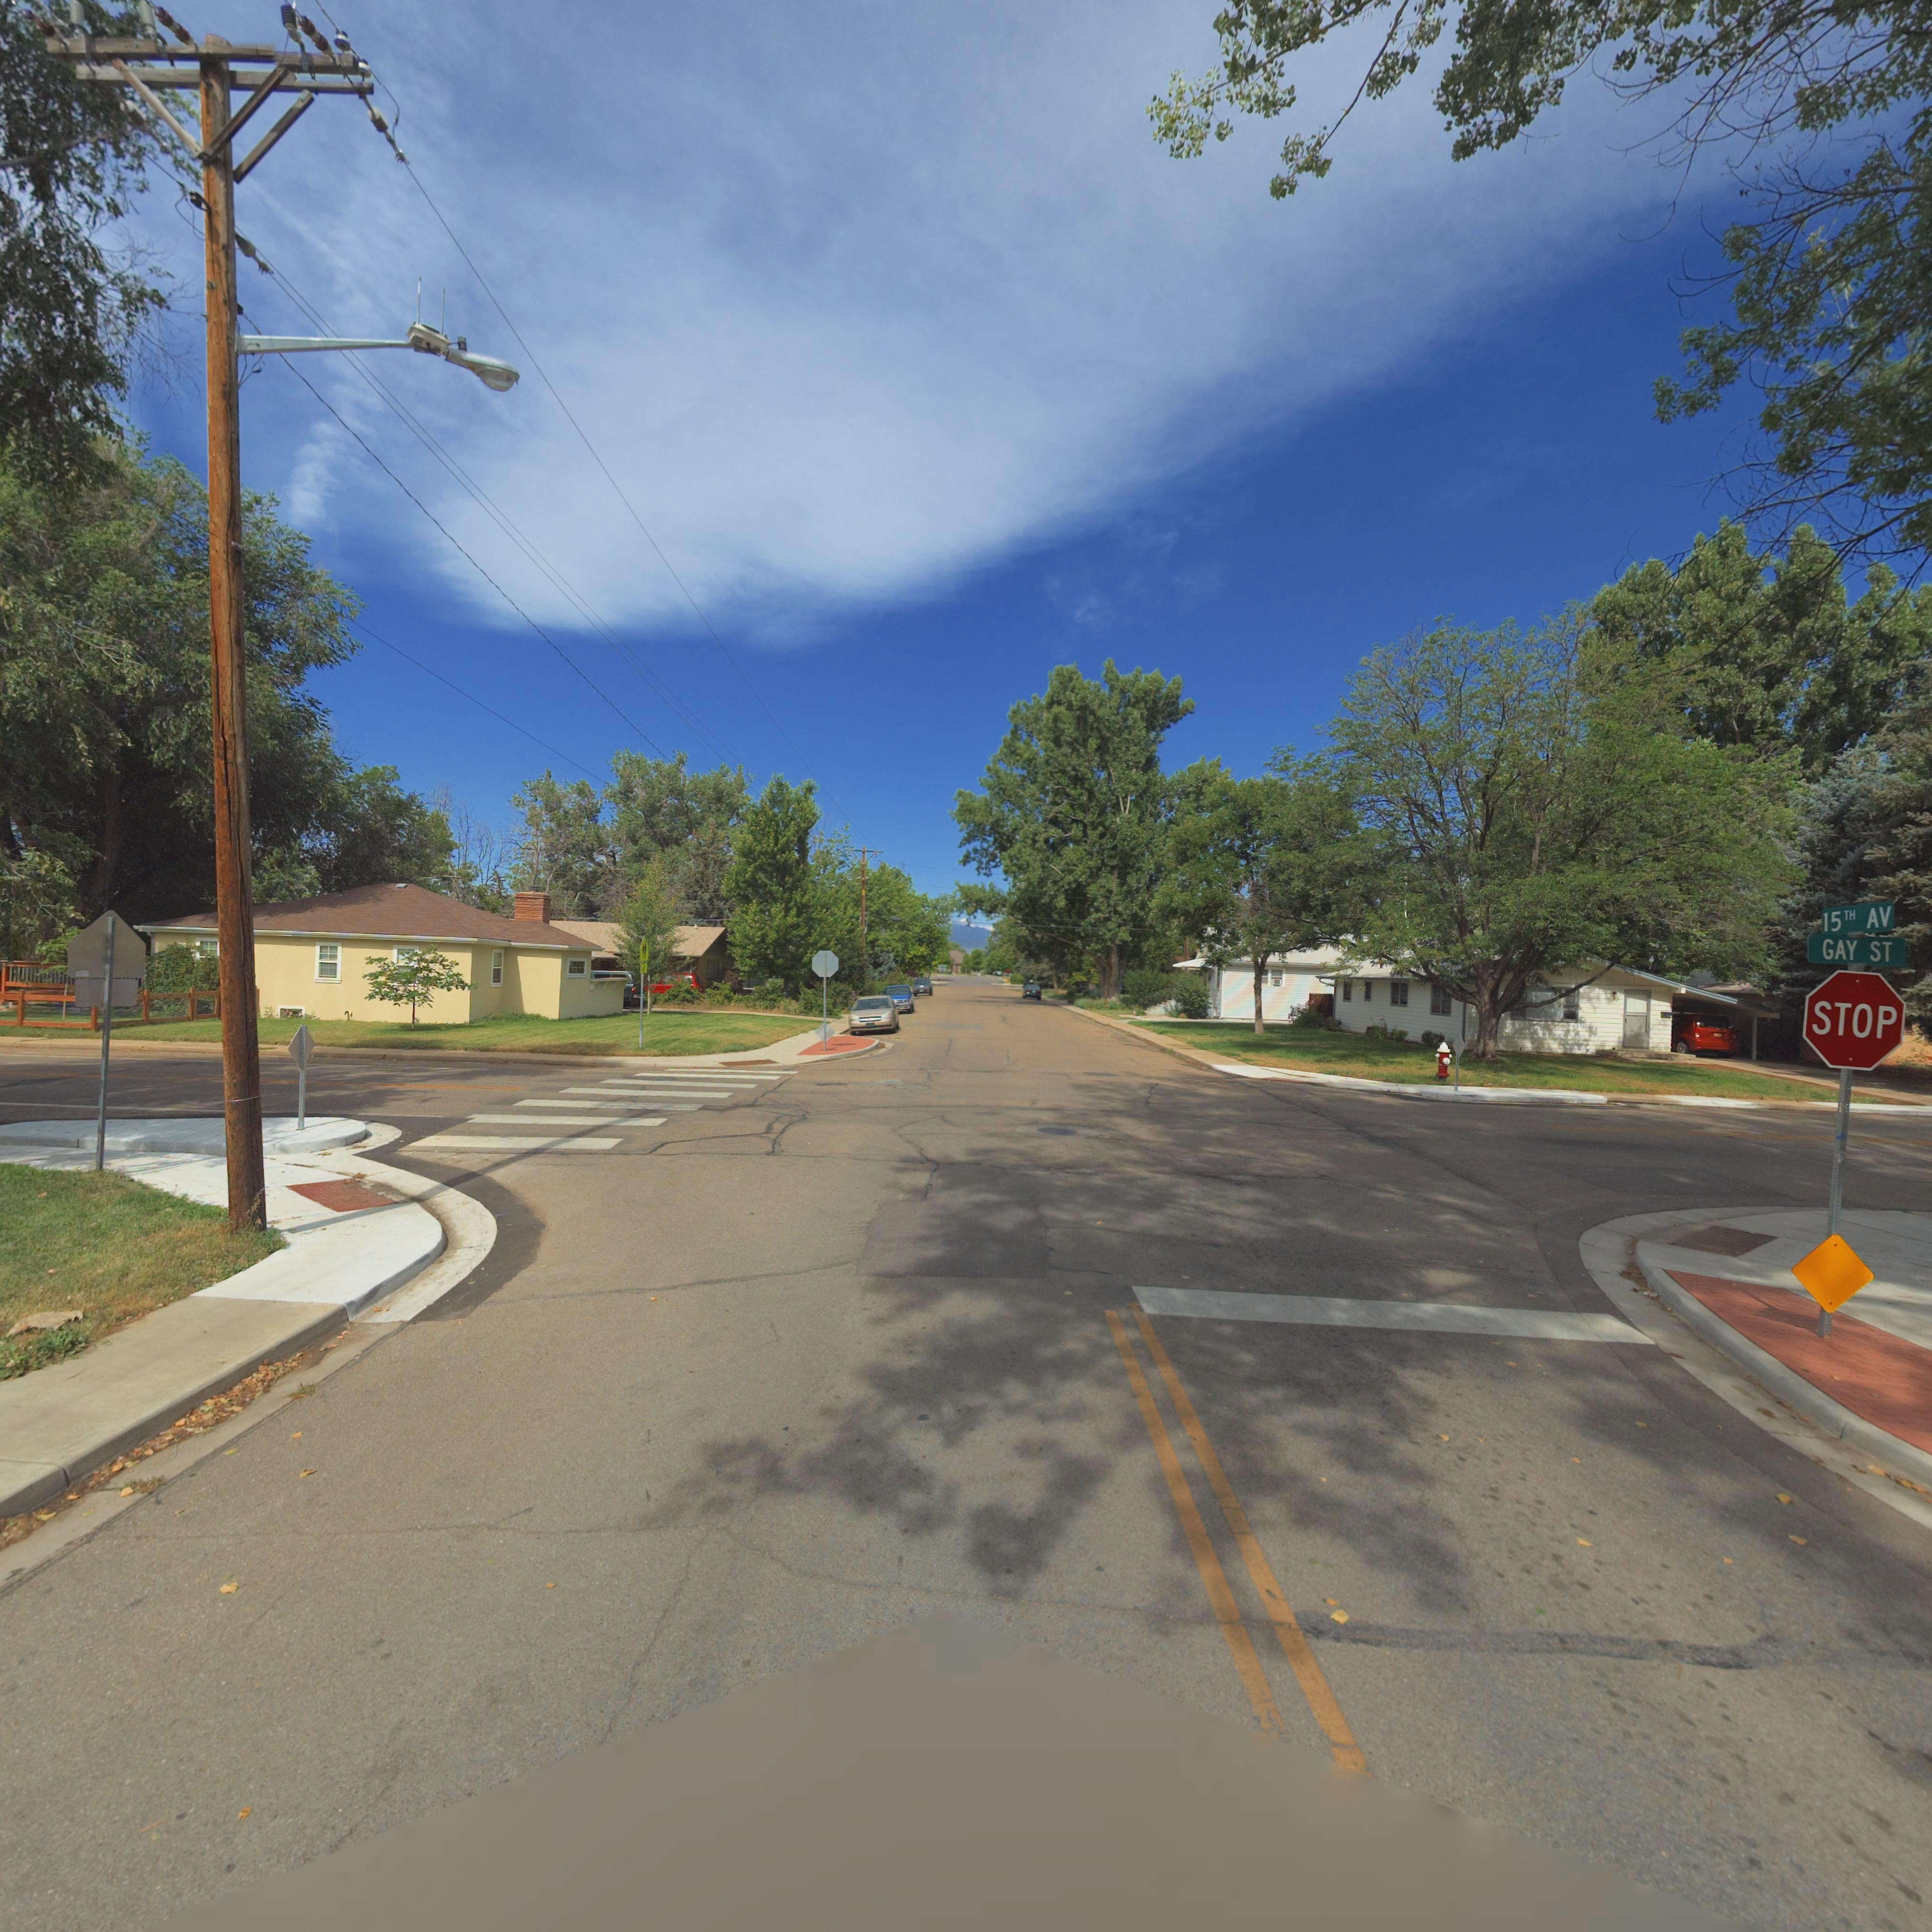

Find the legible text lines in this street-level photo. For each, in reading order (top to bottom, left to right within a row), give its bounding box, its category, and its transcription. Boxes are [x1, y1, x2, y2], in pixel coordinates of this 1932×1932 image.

[1823, 905, 1892, 932] StreetName: 15TH AV
[1822, 938, 1893, 962] StreetName: GAY ST